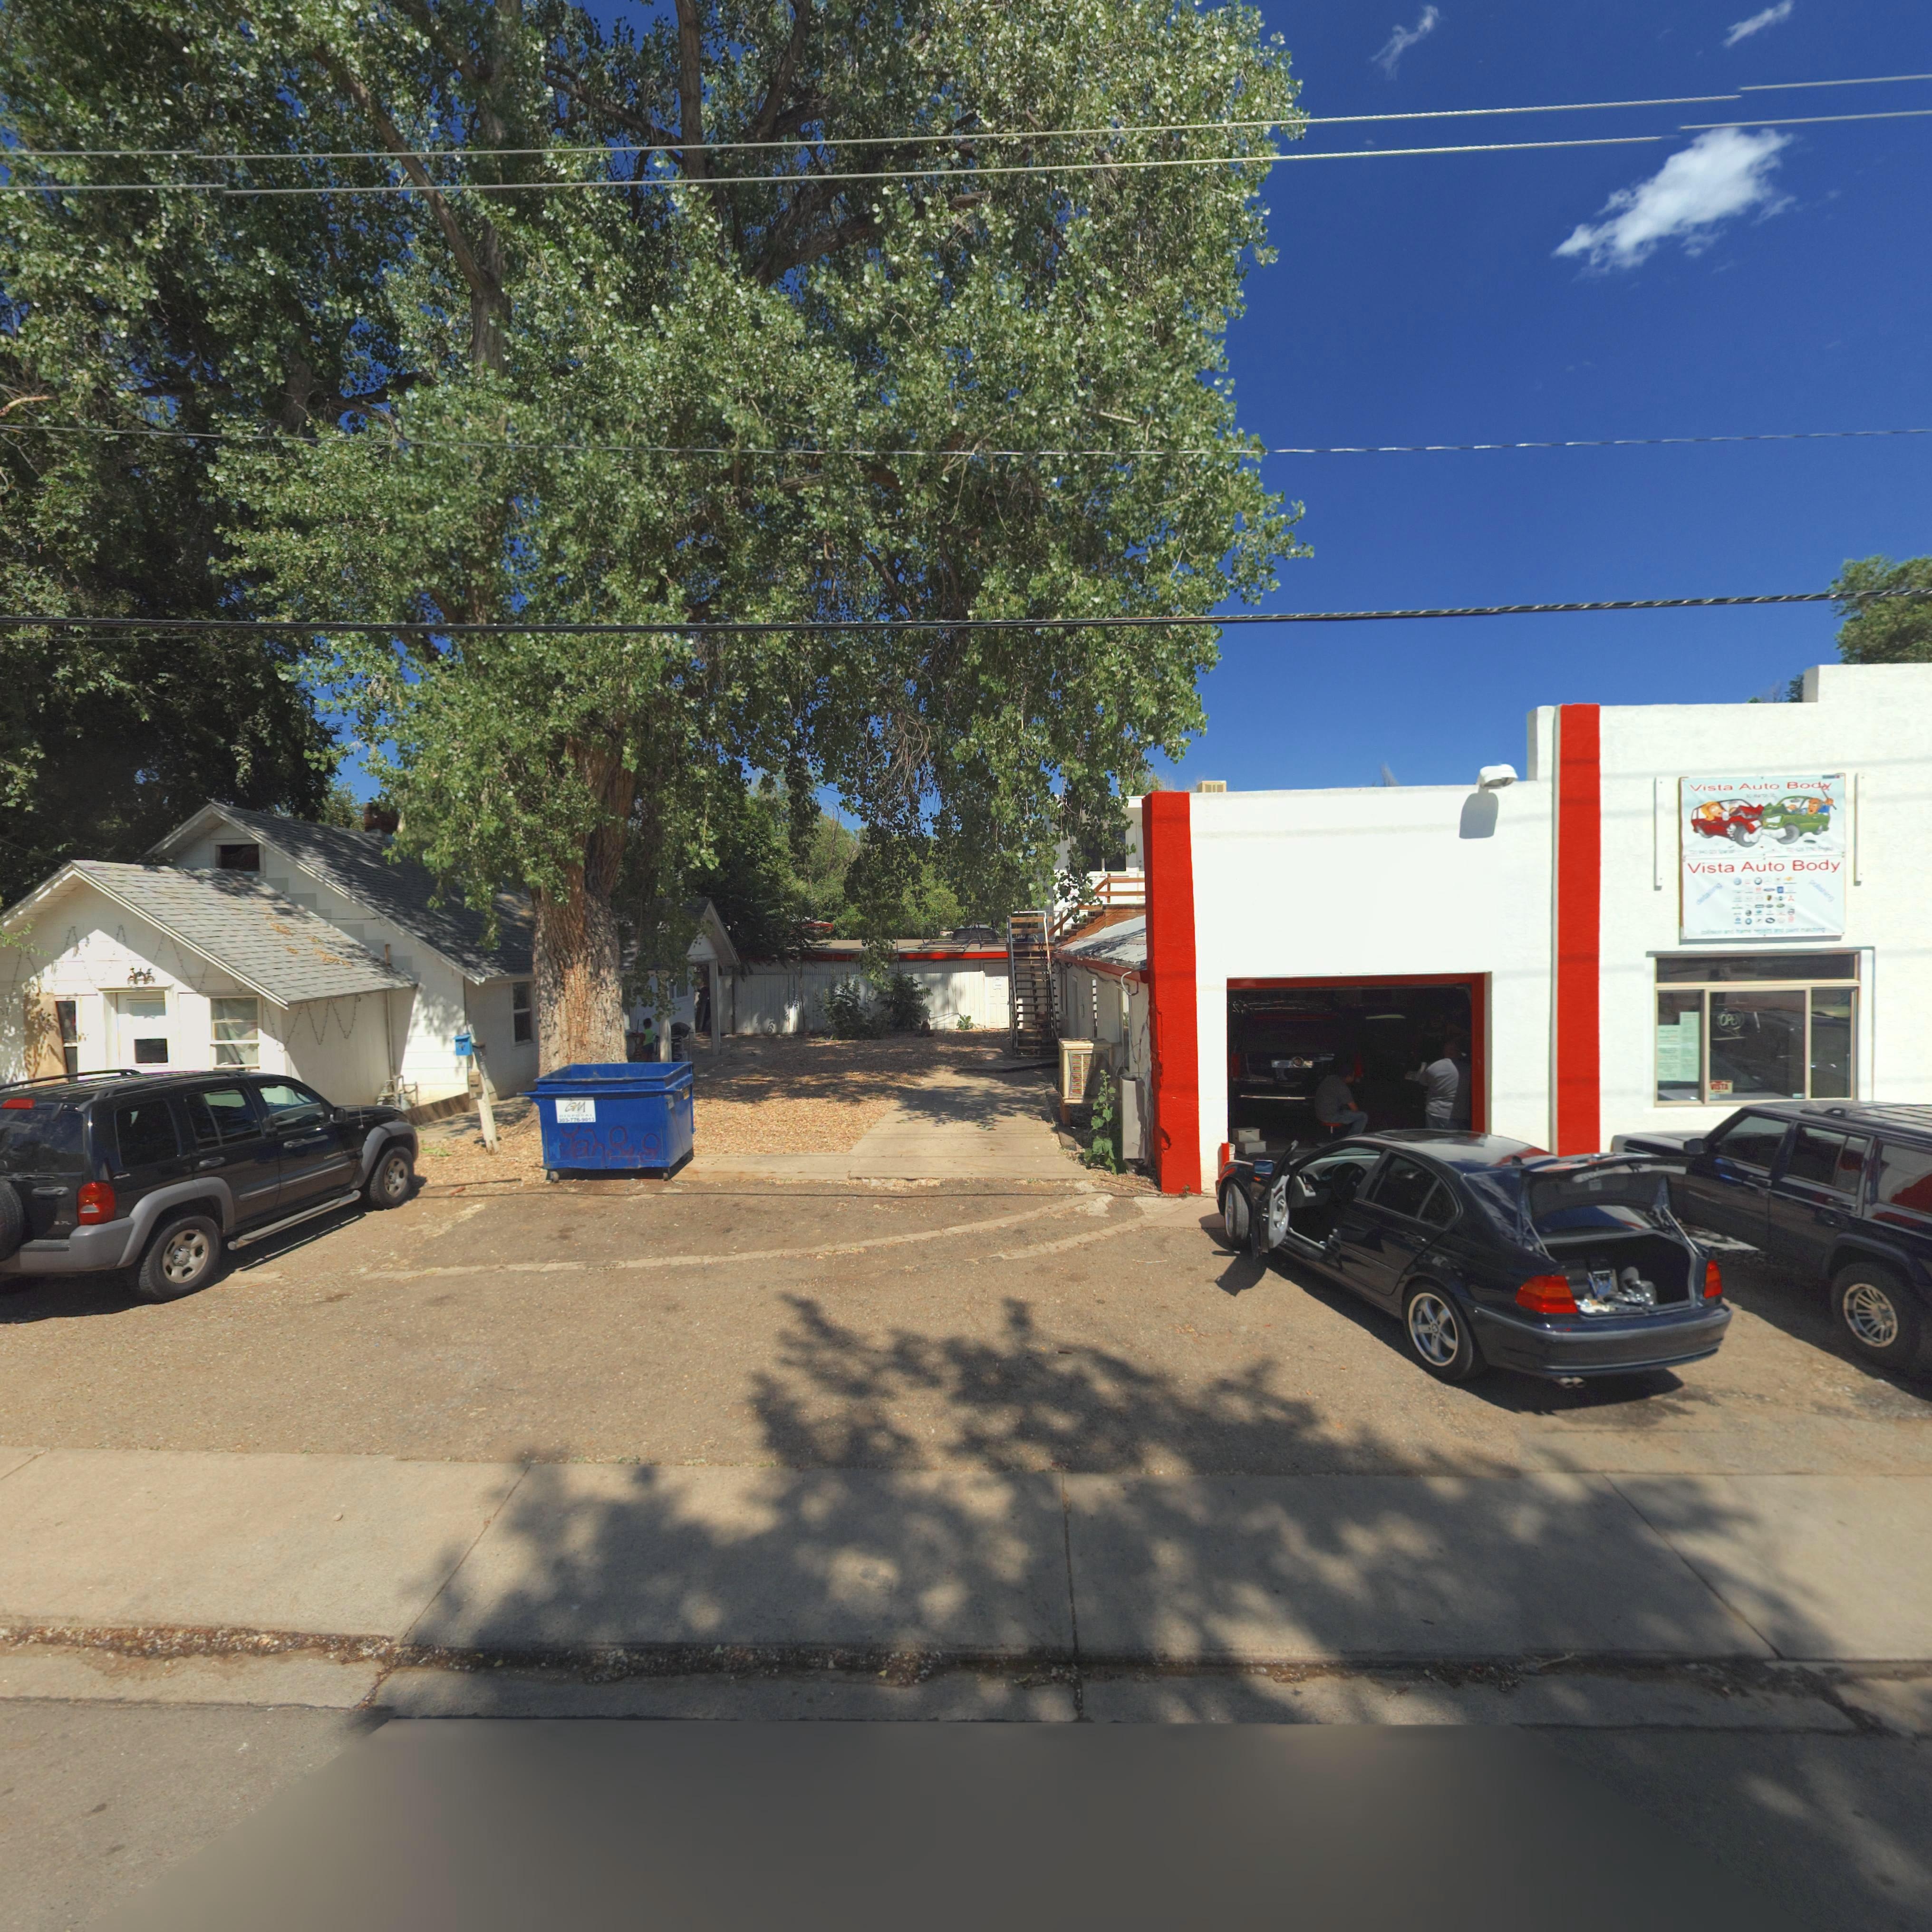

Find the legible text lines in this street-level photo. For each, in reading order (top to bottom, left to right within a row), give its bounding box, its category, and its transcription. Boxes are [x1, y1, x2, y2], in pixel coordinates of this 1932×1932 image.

[1688, 780, 1833, 792] BusinessName: Vista Auto Body
[1686, 858, 1841, 874] BusinessName: Vista Auto Body